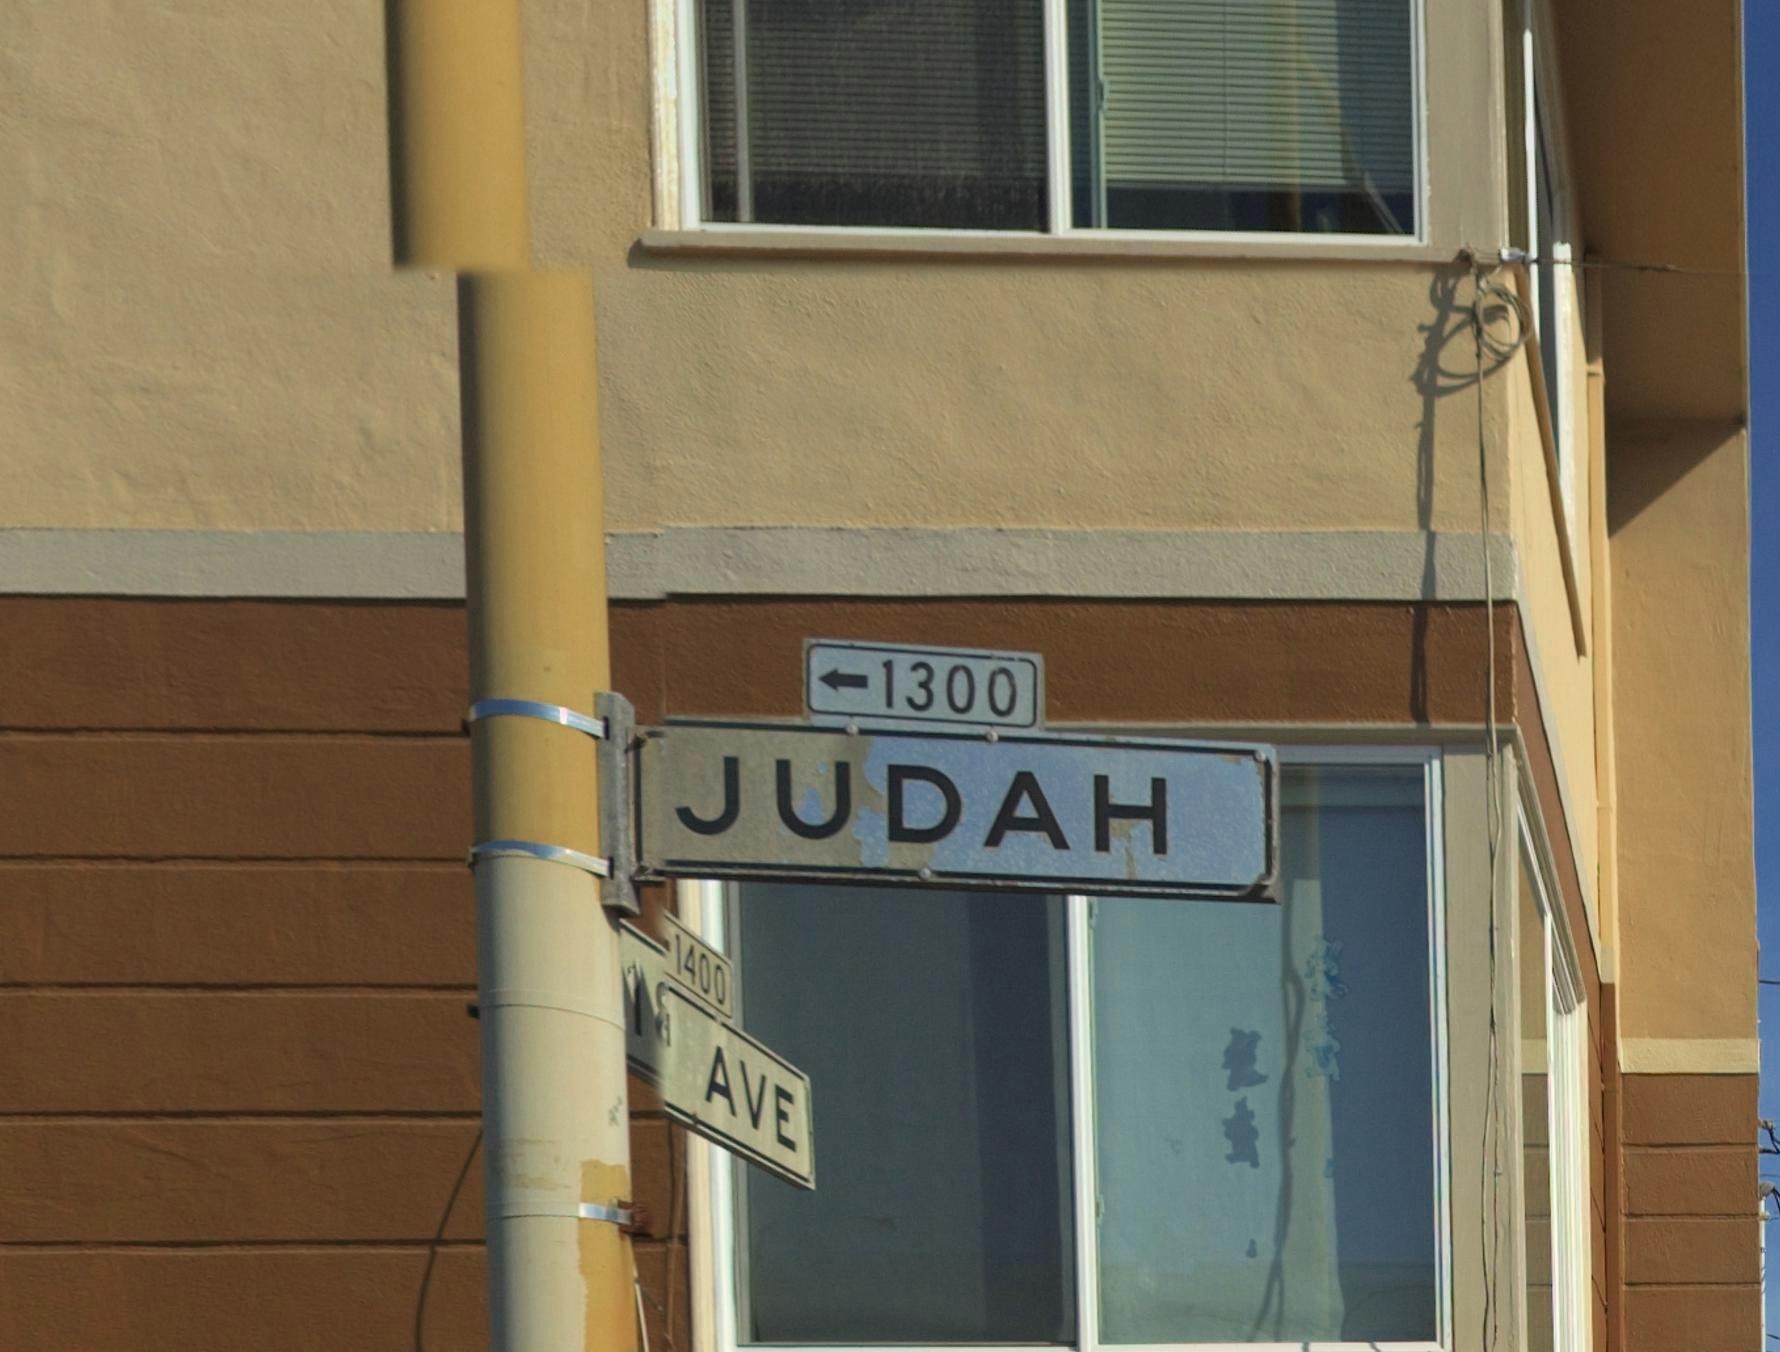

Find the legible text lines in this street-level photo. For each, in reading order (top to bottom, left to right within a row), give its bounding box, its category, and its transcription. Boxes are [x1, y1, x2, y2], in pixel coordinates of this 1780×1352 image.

[812, 648, 1025, 723] StreetNumberRange: <-1300
[673, 753, 1177, 864] StreetName: JUDAH
[671, 926, 733, 1014] StreetNumberRange: 1400
[694, 1037, 802, 1163] StreetName: AVE